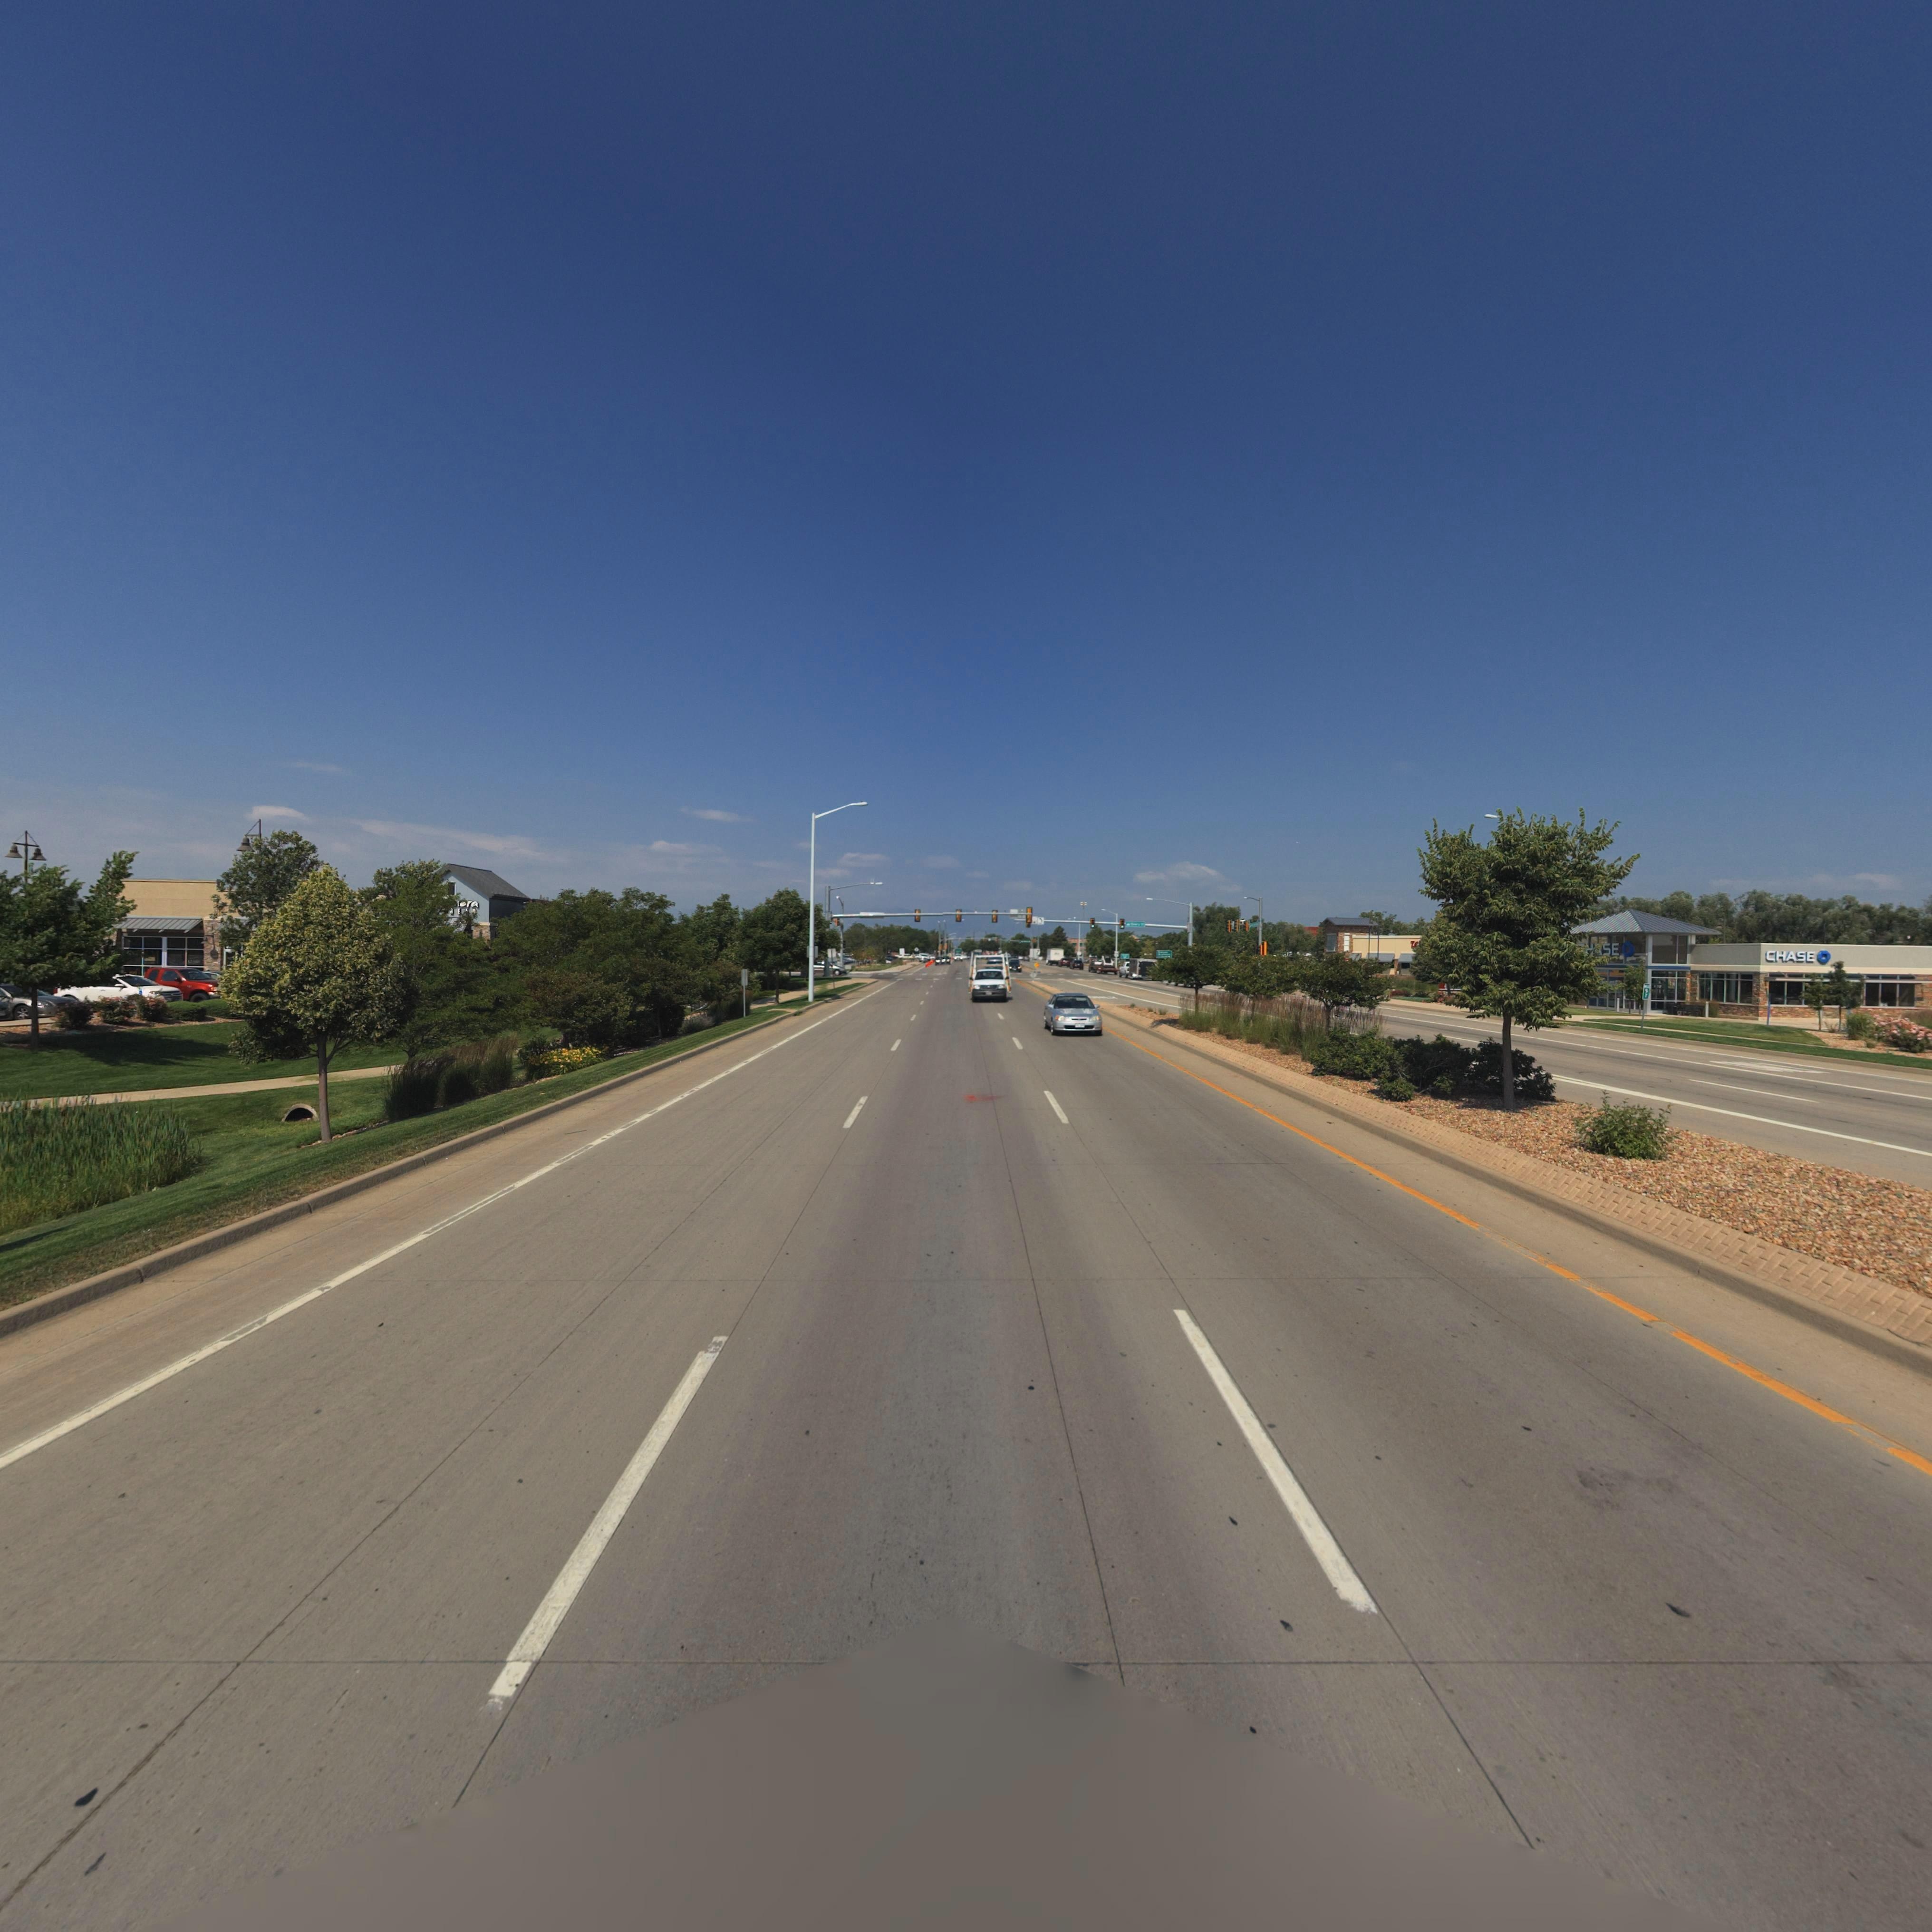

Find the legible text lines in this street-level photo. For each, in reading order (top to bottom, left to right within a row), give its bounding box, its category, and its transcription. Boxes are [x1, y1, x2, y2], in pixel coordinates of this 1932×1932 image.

[454, 899, 479, 908] BusinessName: nera
[448, 907, 476, 915] BusinessName: RE*D
[1130, 922, 1144, 927] StreetName: E***y S*
[1410, 940, 1421, 948] BusinessName: W
[1576, 942, 1620, 956] BusinessName: *H*SE
[1766, 950, 1816, 962] BusinessName: CHASE